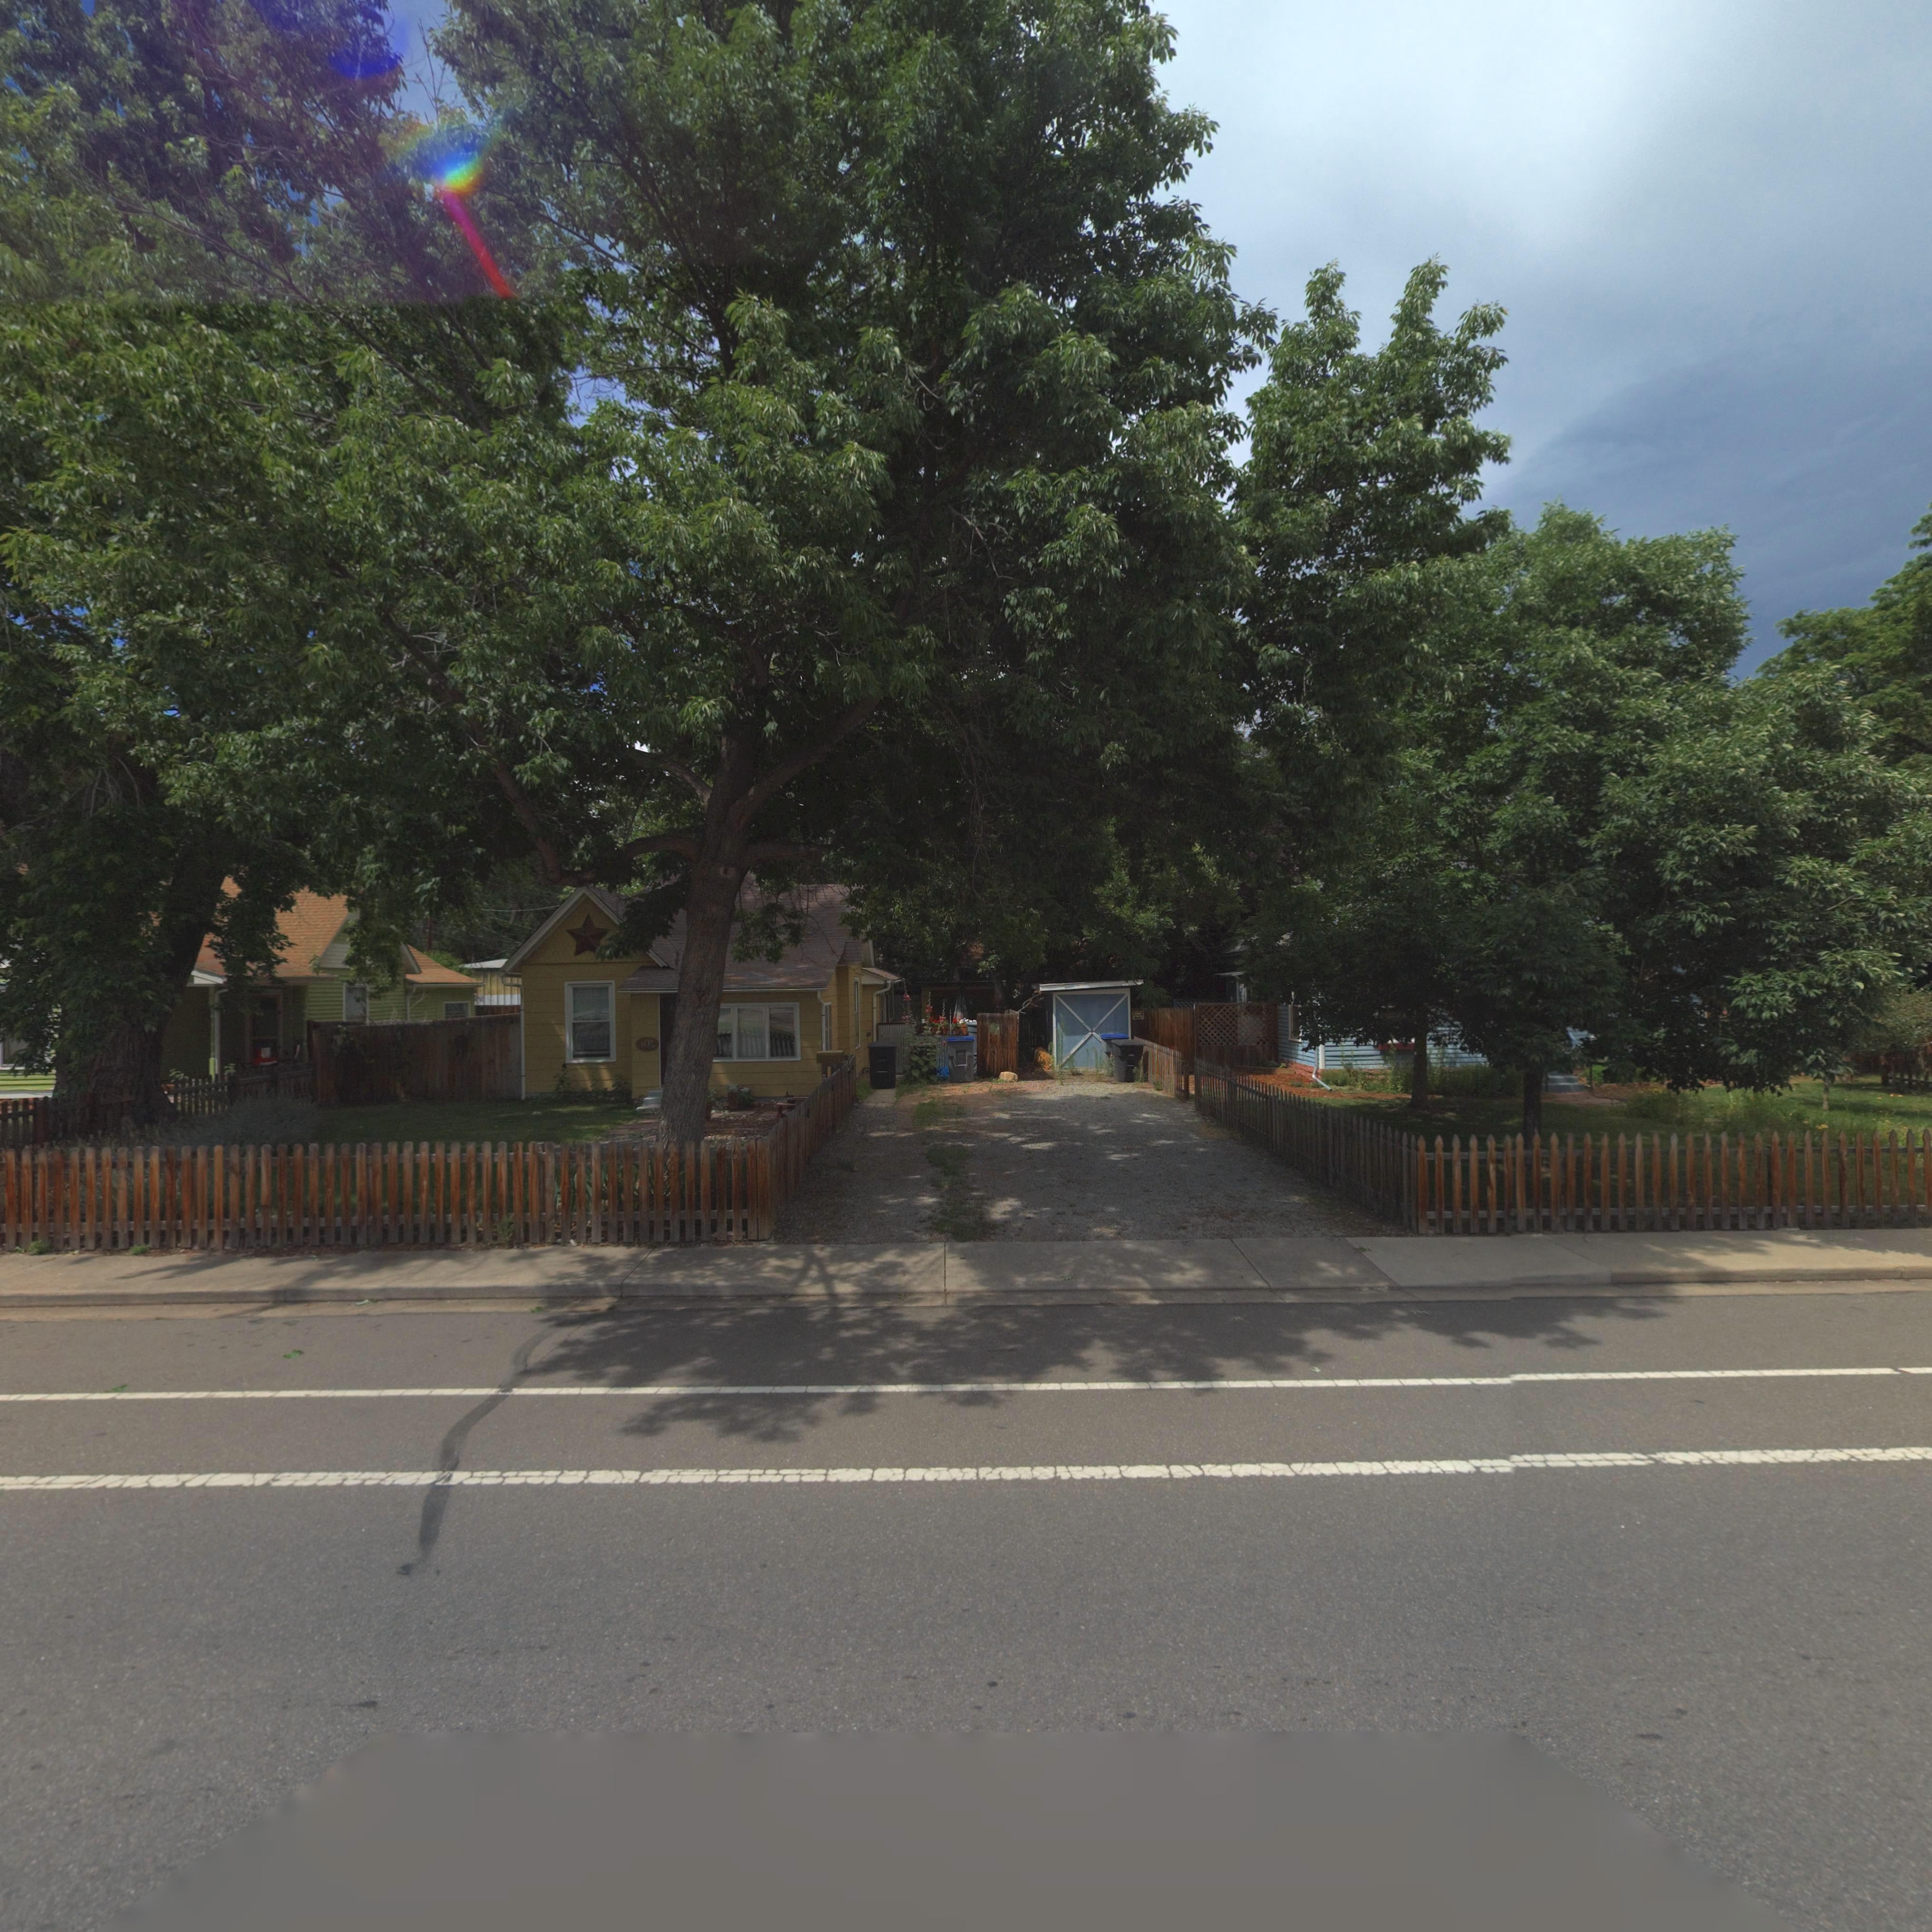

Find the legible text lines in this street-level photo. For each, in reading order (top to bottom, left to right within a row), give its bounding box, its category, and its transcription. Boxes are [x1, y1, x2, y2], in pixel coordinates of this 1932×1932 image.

[640, 1040, 655, 1048] StreetNumber: 103